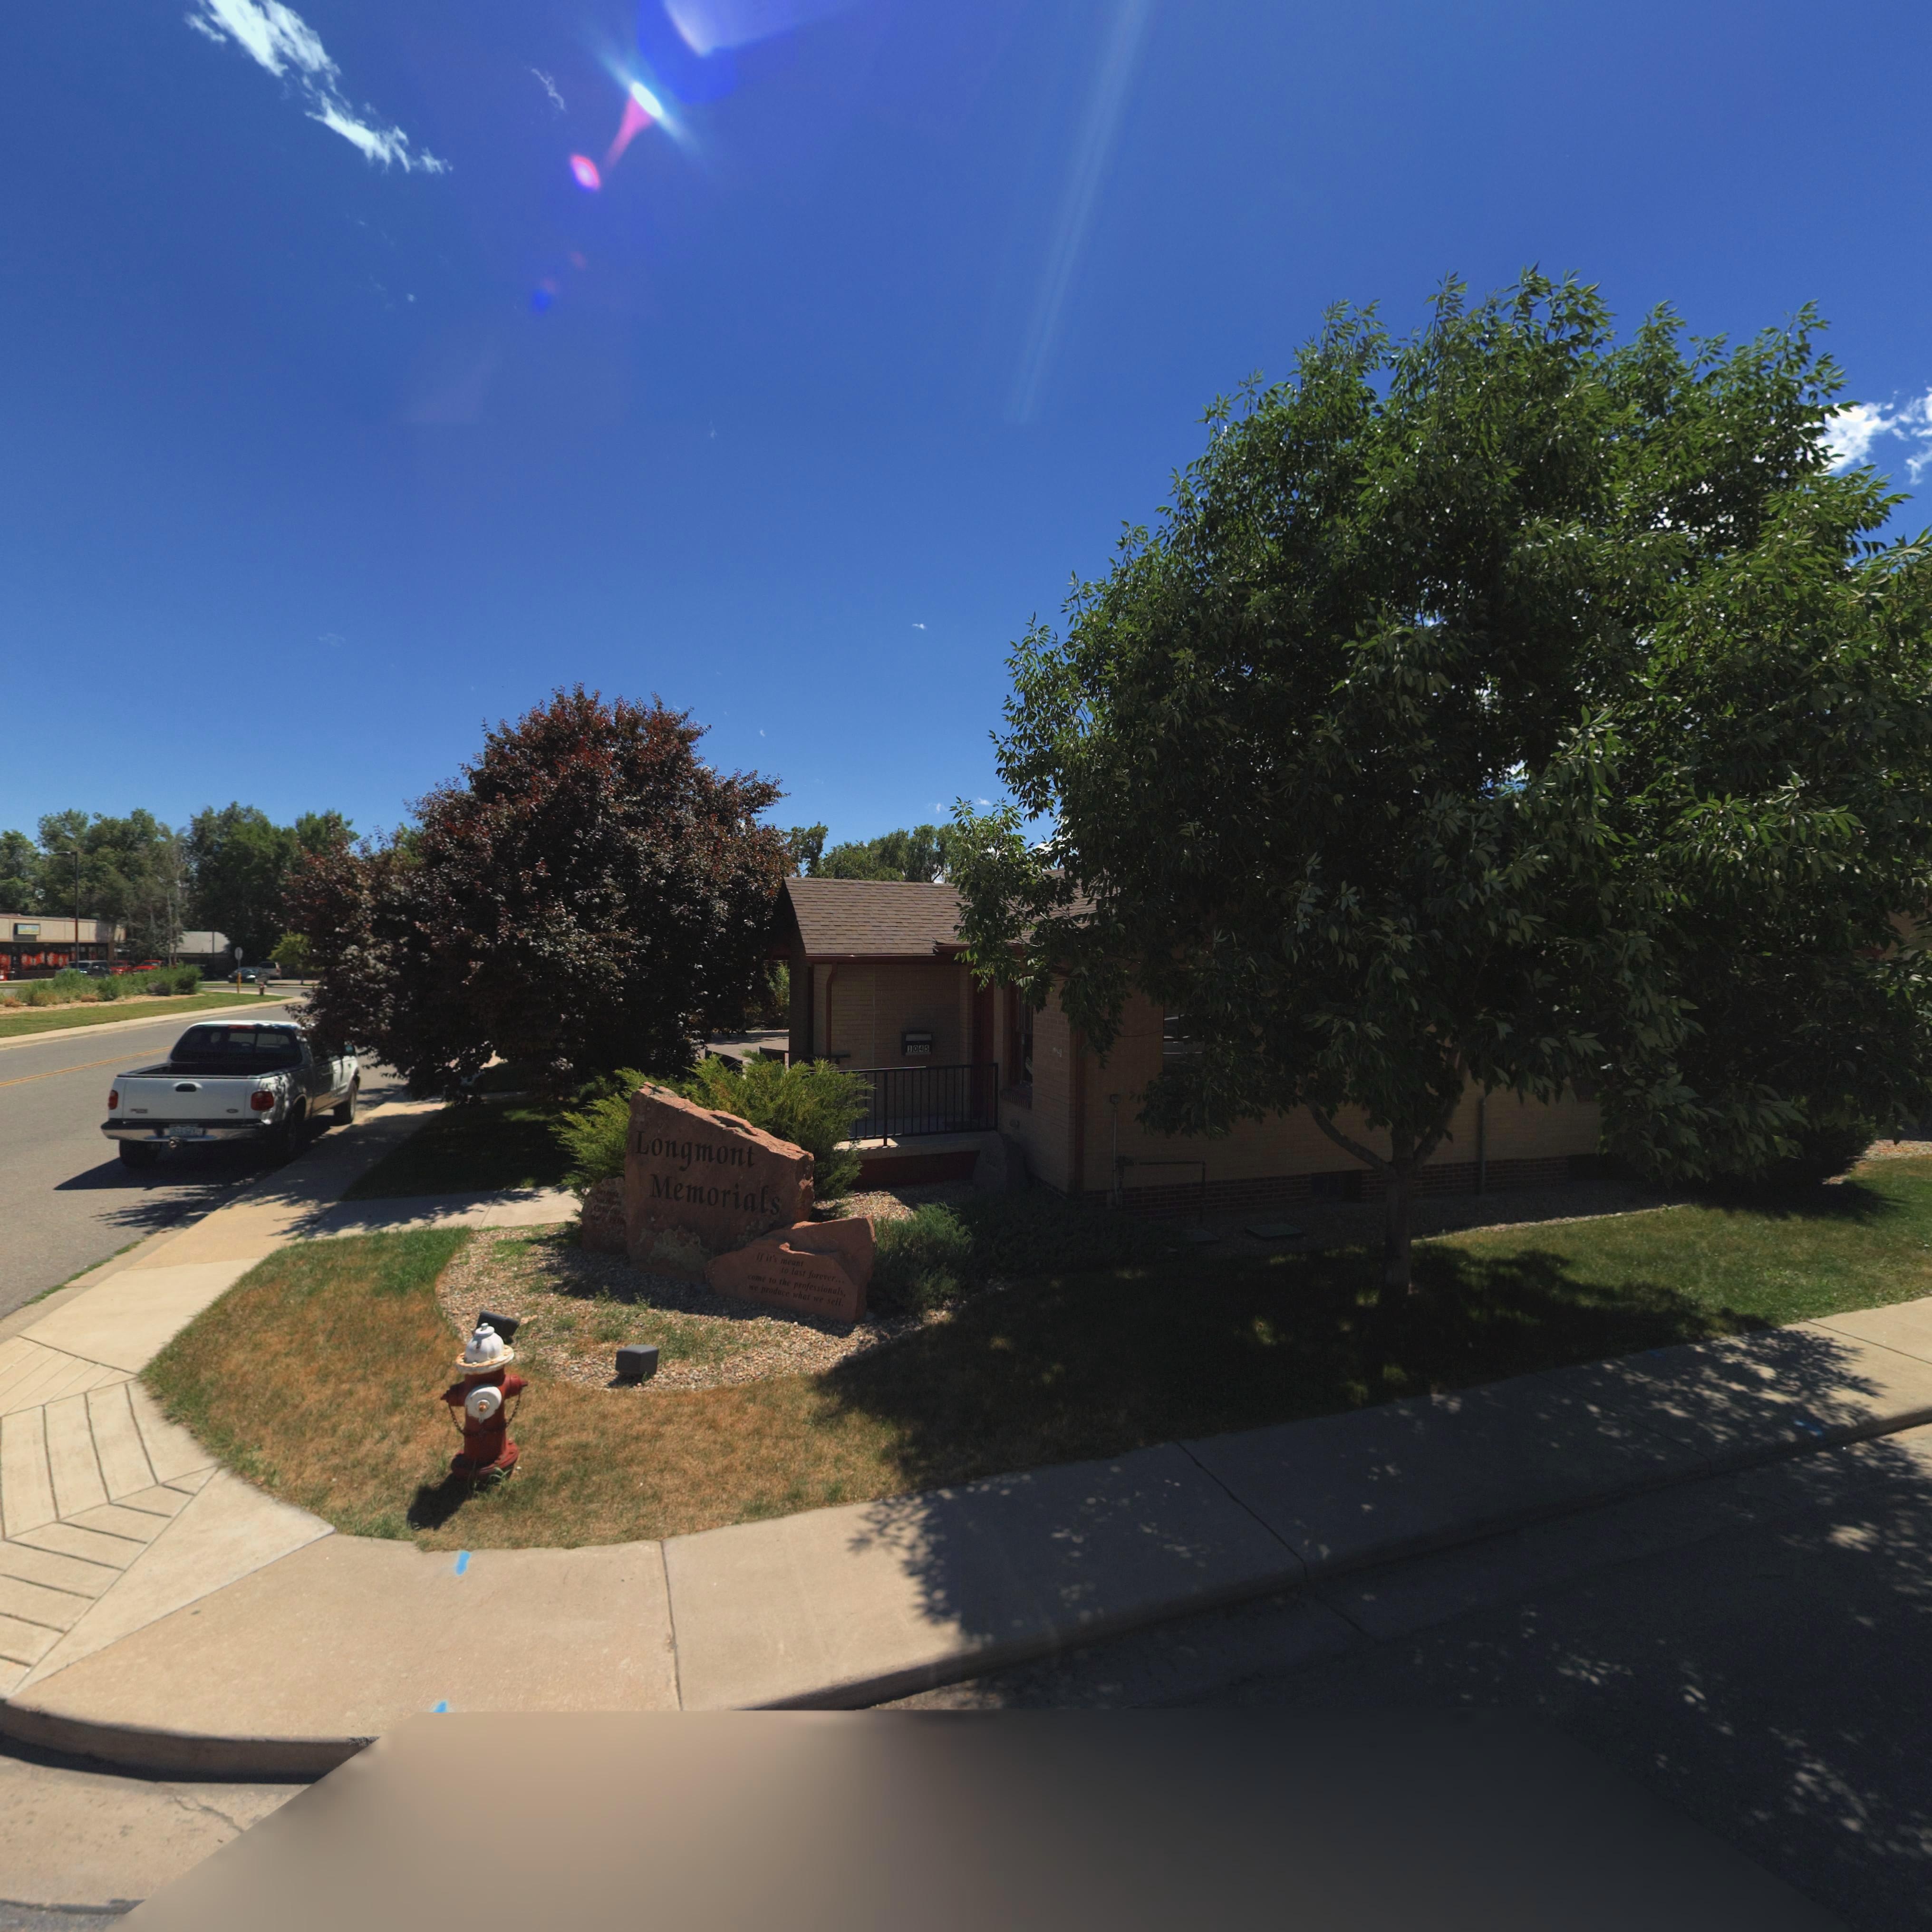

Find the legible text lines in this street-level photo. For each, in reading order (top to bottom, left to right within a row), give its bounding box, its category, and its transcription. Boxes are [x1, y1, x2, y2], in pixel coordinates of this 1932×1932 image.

[908, 1045, 929, 1052] StreetNumber: 1045
[632, 1129, 755, 1173] BusinessName: Longmont
[647, 1172, 782, 1217] BusinessName: Memorials